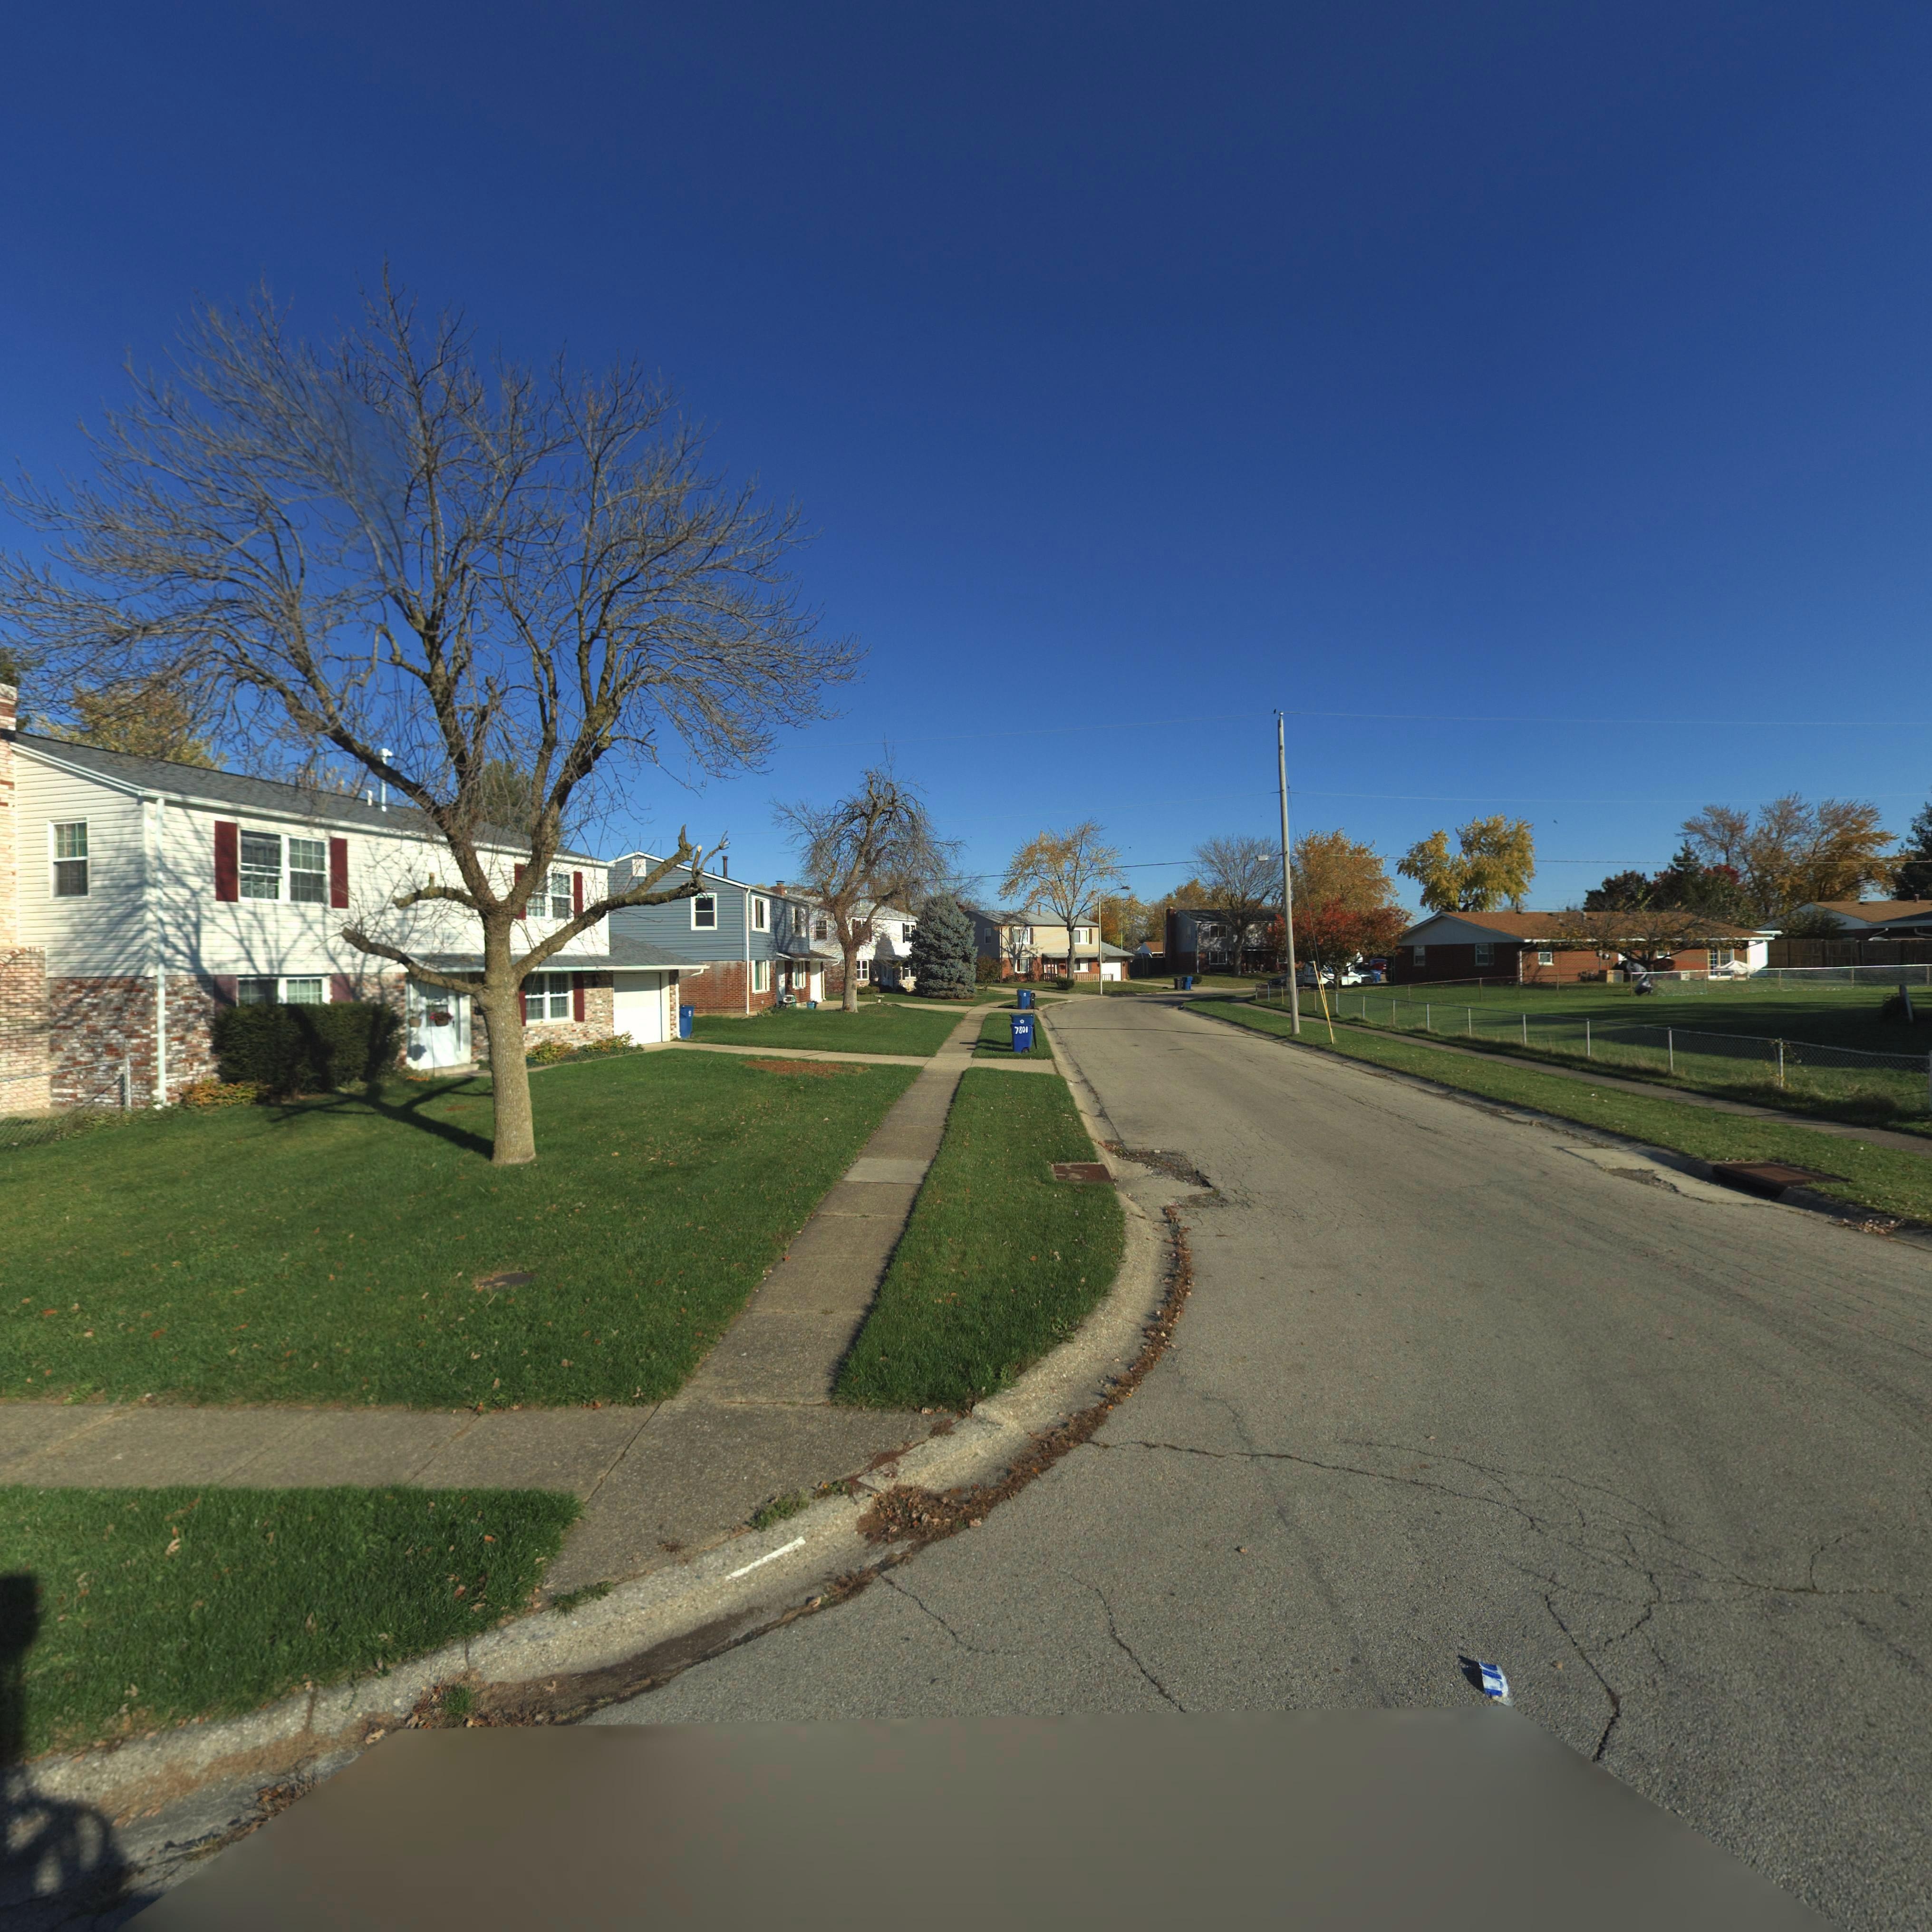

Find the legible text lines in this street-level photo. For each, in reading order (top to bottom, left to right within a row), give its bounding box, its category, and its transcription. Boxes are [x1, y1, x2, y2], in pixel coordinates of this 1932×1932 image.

[1014, 1025, 1028, 1035] StreetNumber: 7801